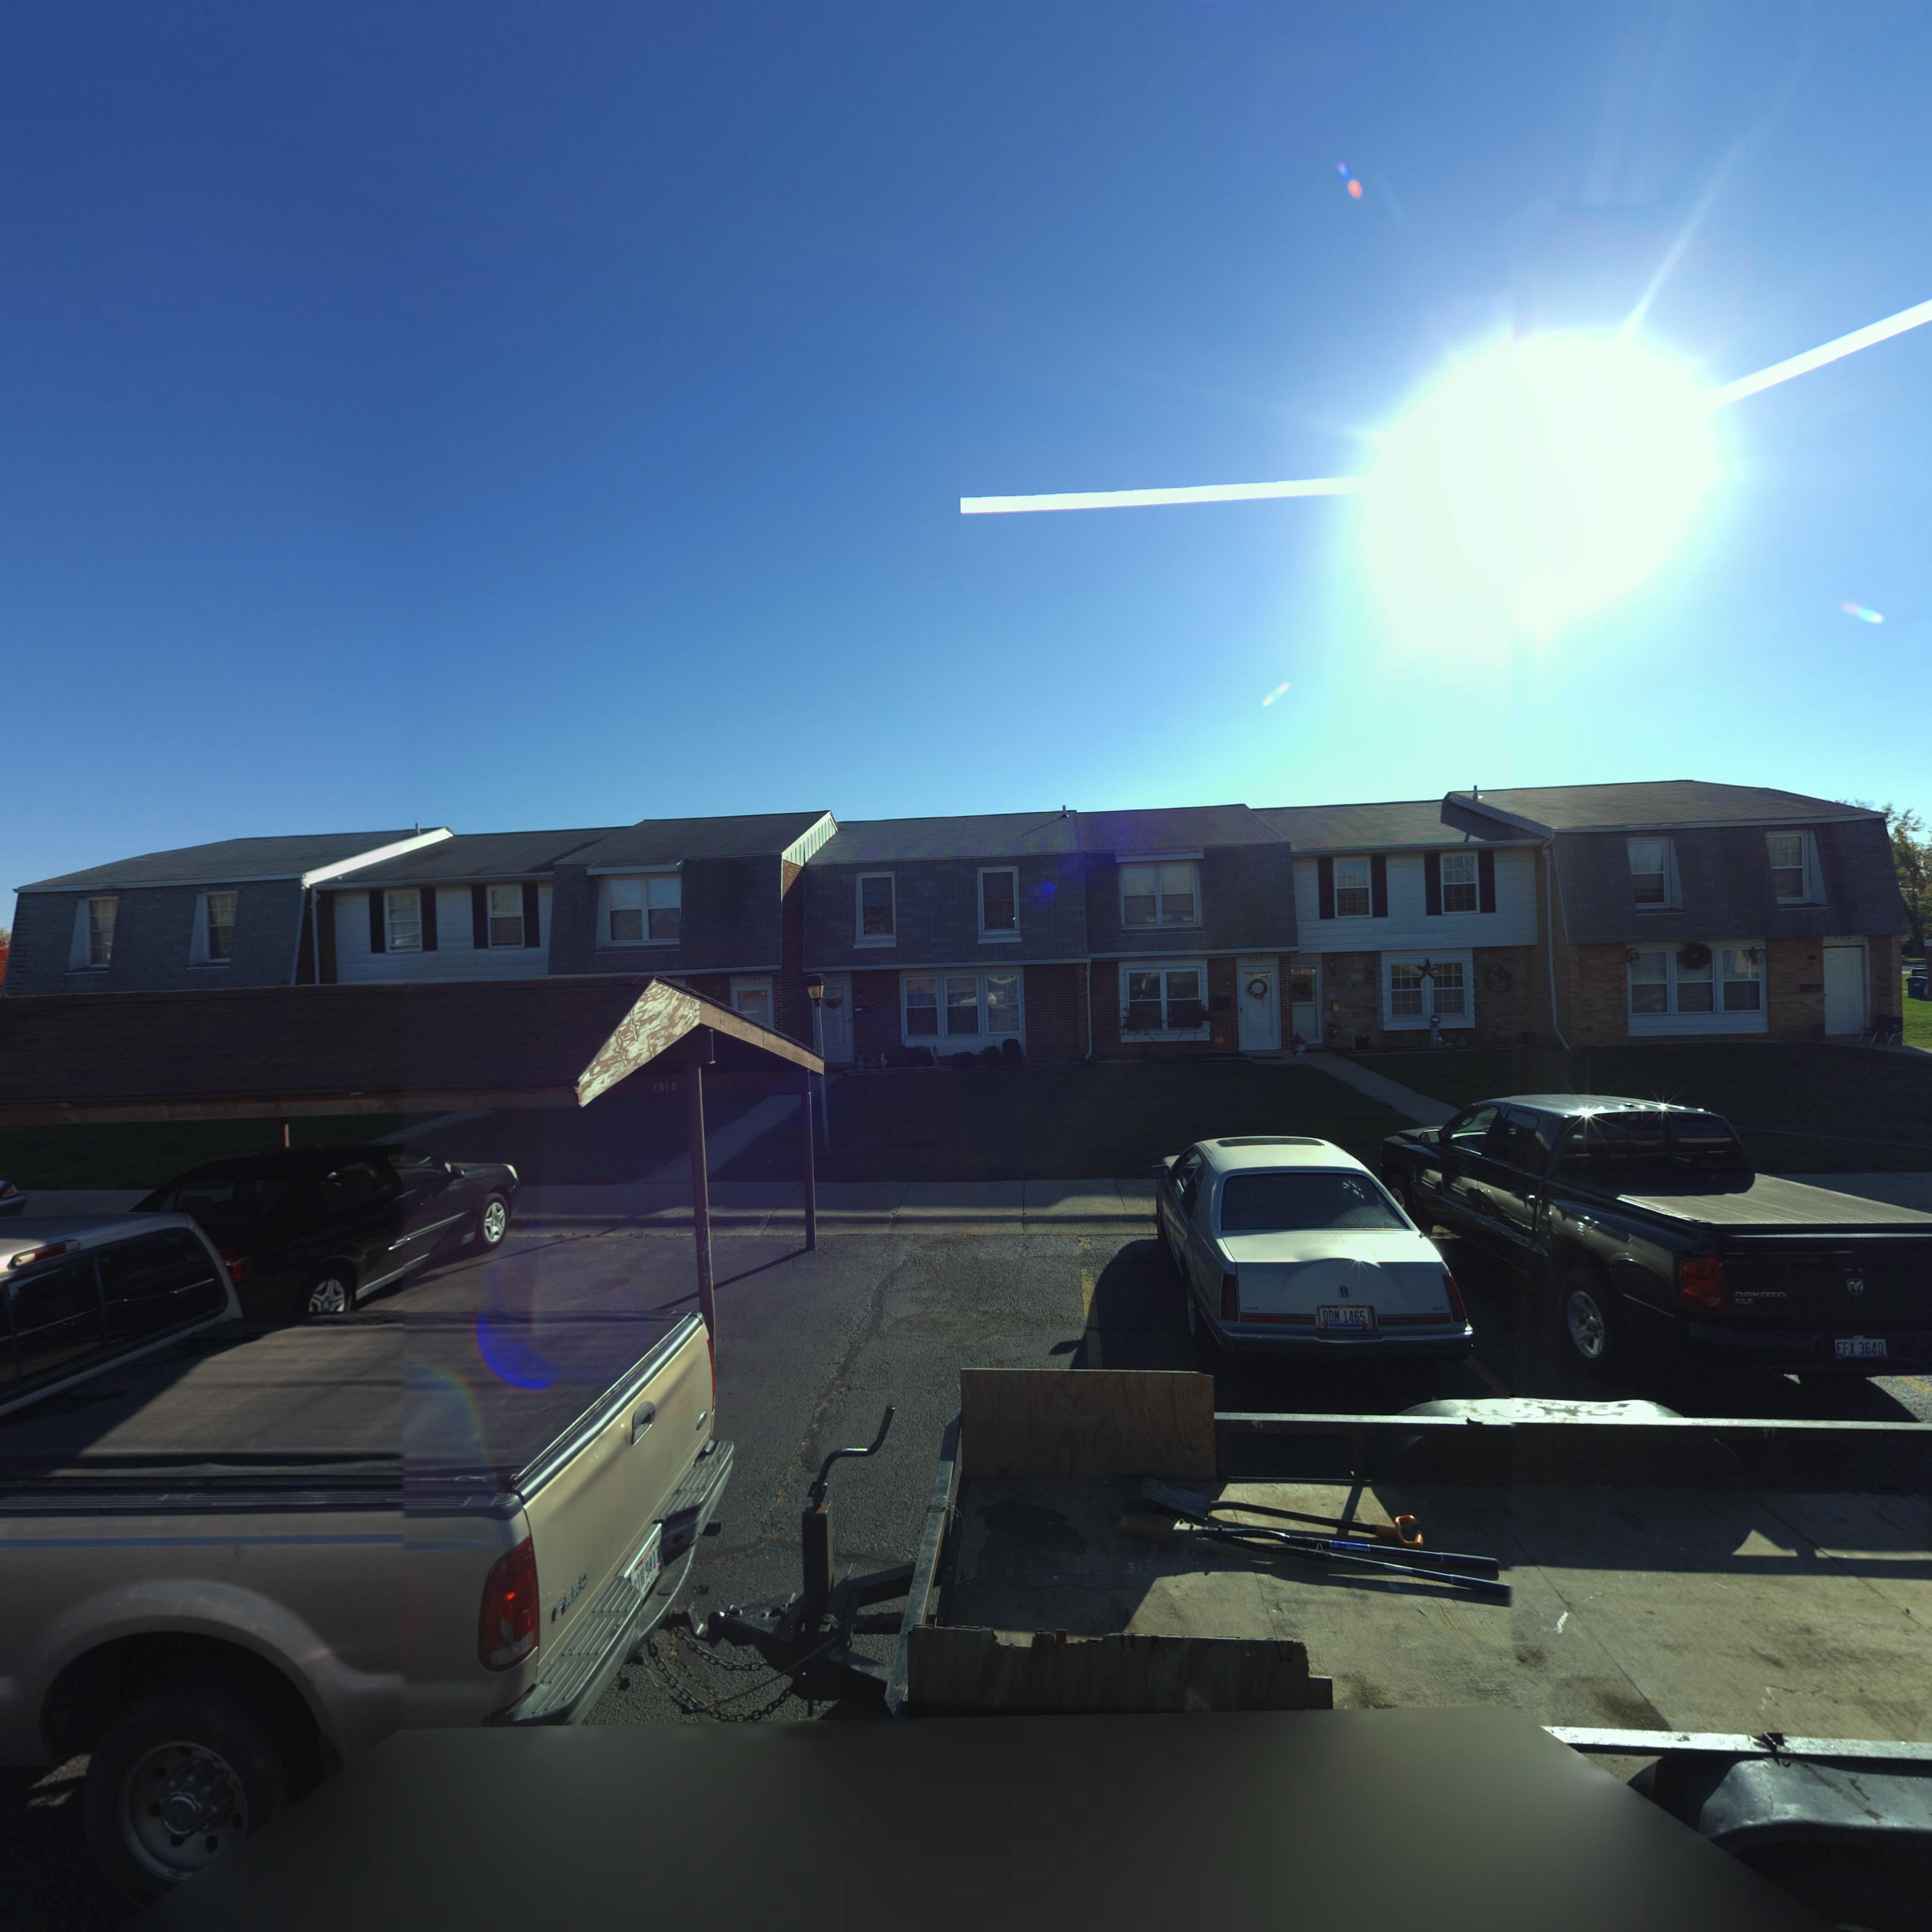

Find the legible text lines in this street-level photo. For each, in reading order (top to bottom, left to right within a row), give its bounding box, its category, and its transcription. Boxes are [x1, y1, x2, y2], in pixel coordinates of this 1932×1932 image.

[1834, 935, 1852, 940] StreetNumber: 7516
[1247, 956, 1264, 962] StreetNumber: 7520
[1292, 954, 1305, 959] StreetNumber: 7518
[822, 971, 840, 977] StreetNumber: *522
[744, 976, 760, 982] StreetNumber: 7524
[652, 1082, 677, 1092] StreetNumber: 7516